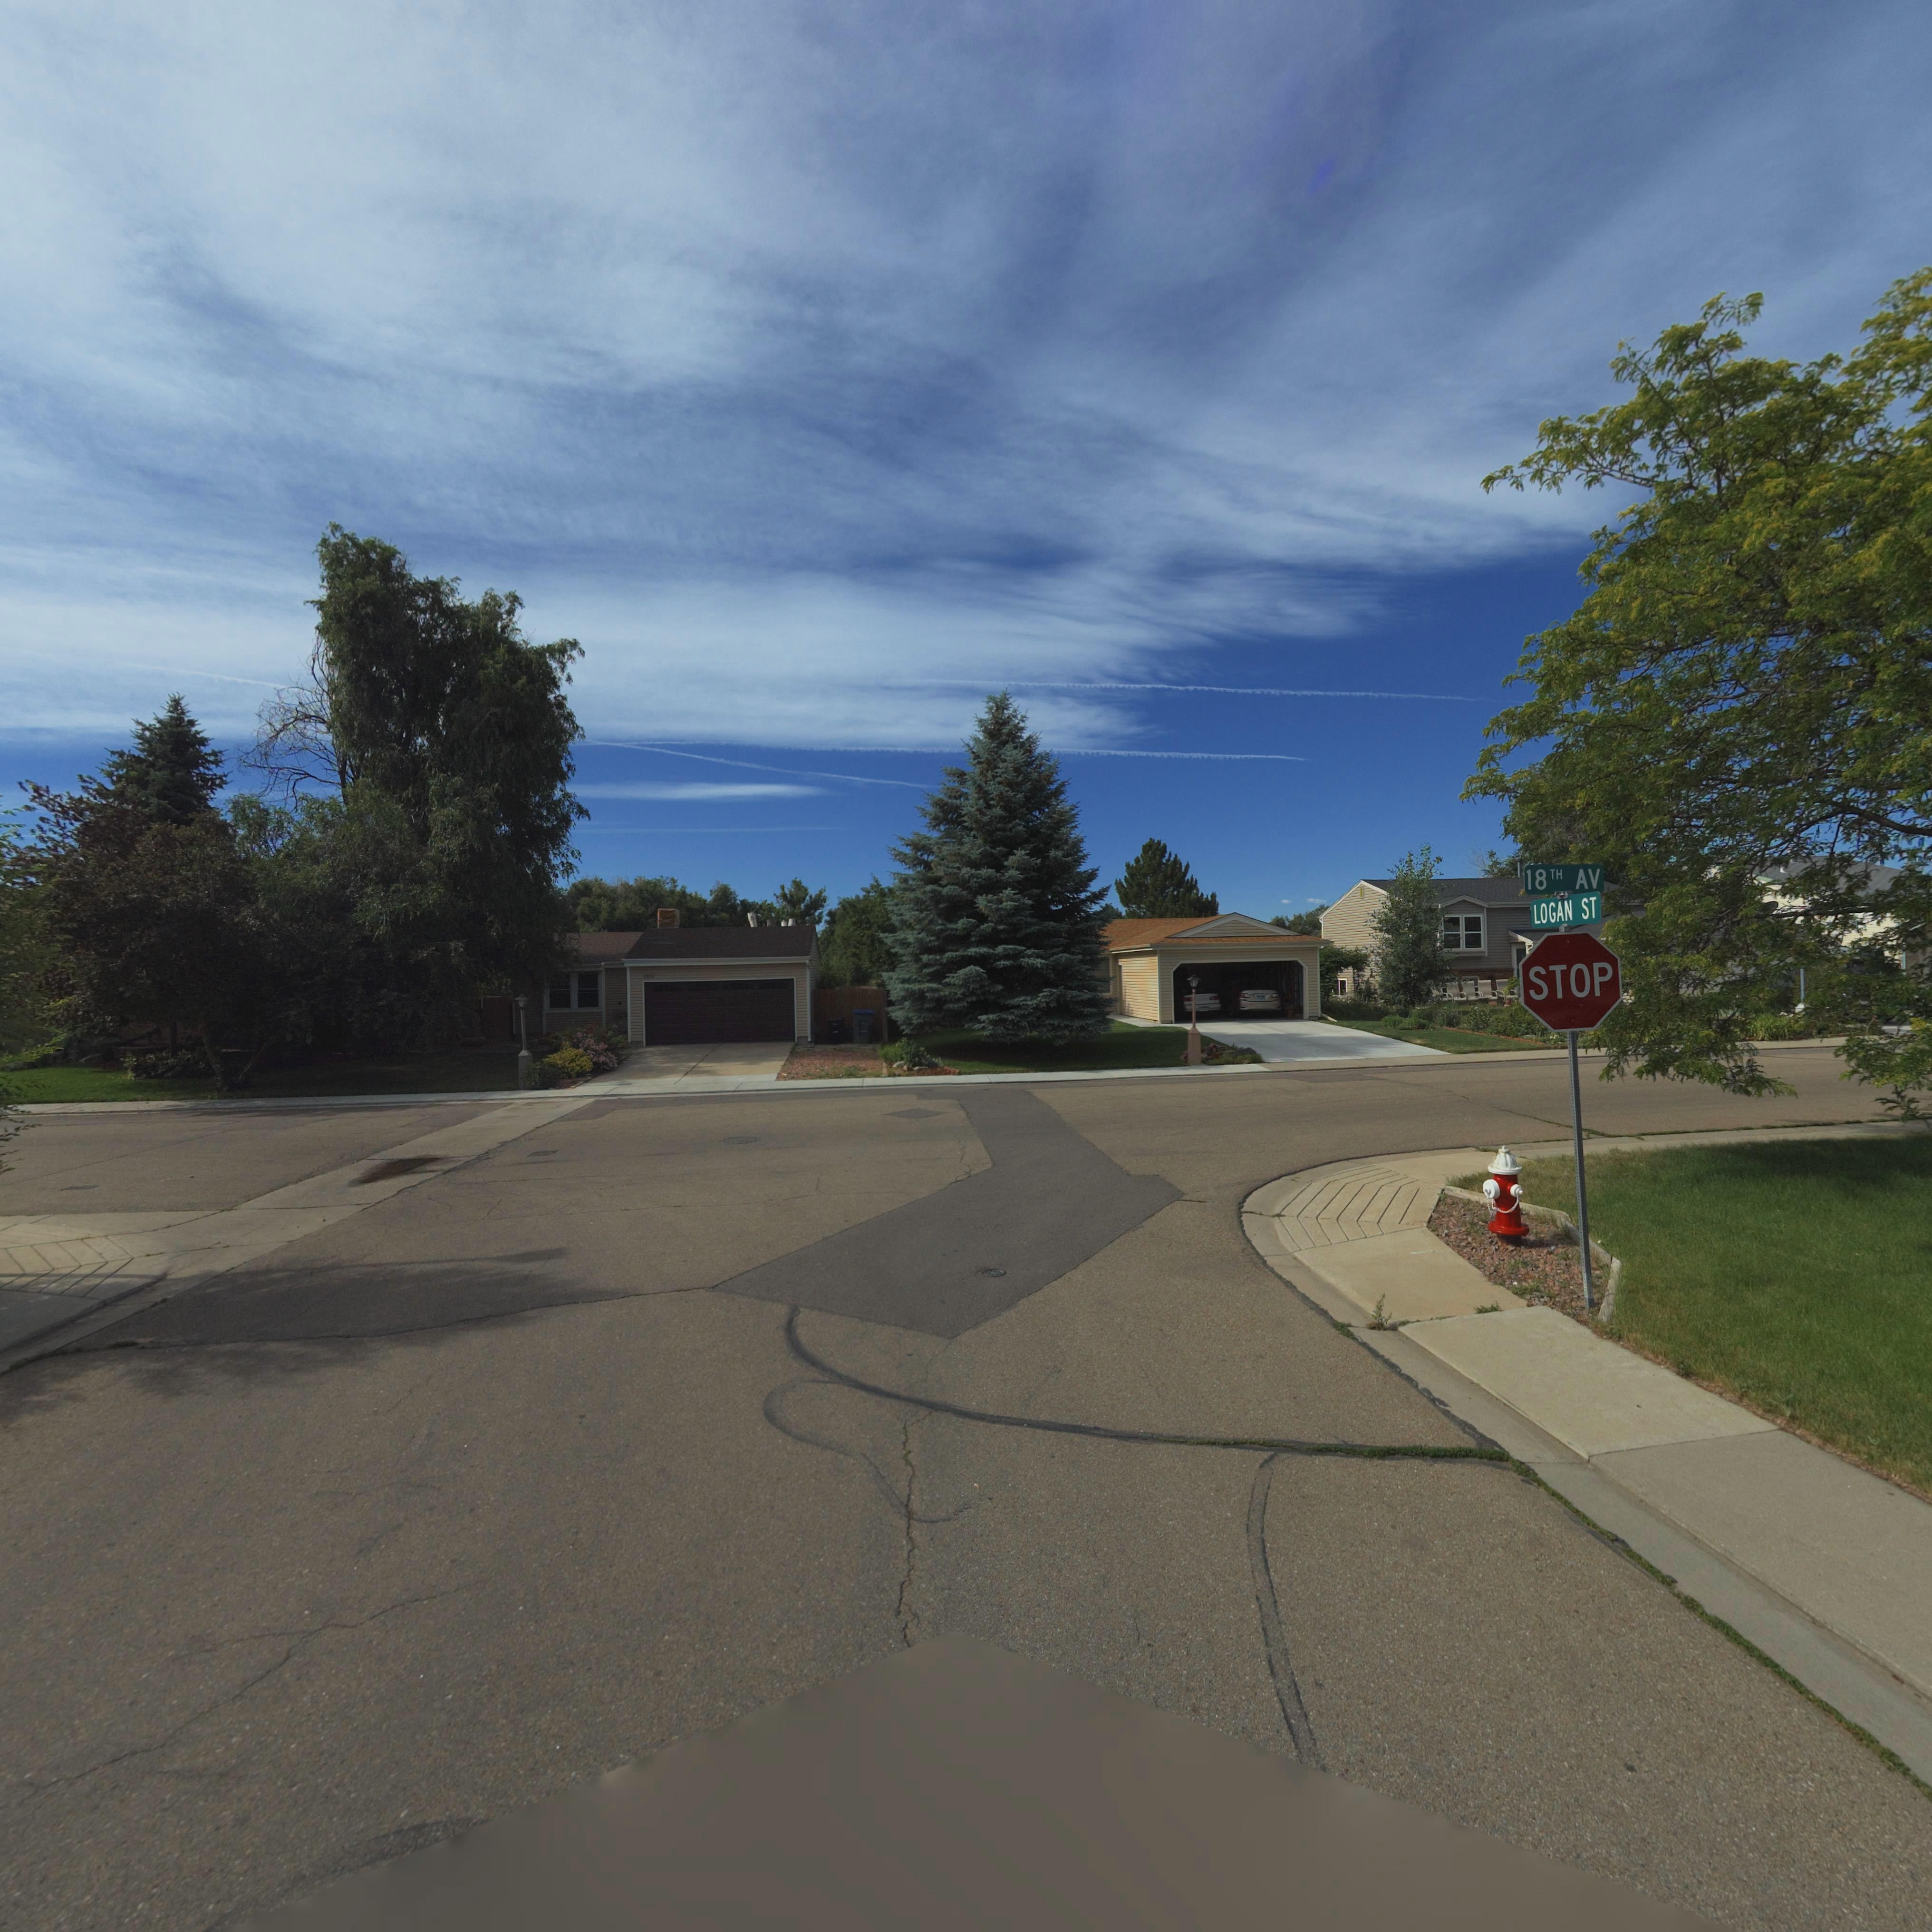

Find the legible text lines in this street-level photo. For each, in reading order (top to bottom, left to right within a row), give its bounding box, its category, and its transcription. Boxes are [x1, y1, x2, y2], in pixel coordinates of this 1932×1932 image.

[1526, 868, 1601, 891] StreetName: 18TH AV
[1533, 896, 1598, 925] StreetName: LOGAN ST
[642, 973, 655, 978] StreetNumber: 15**